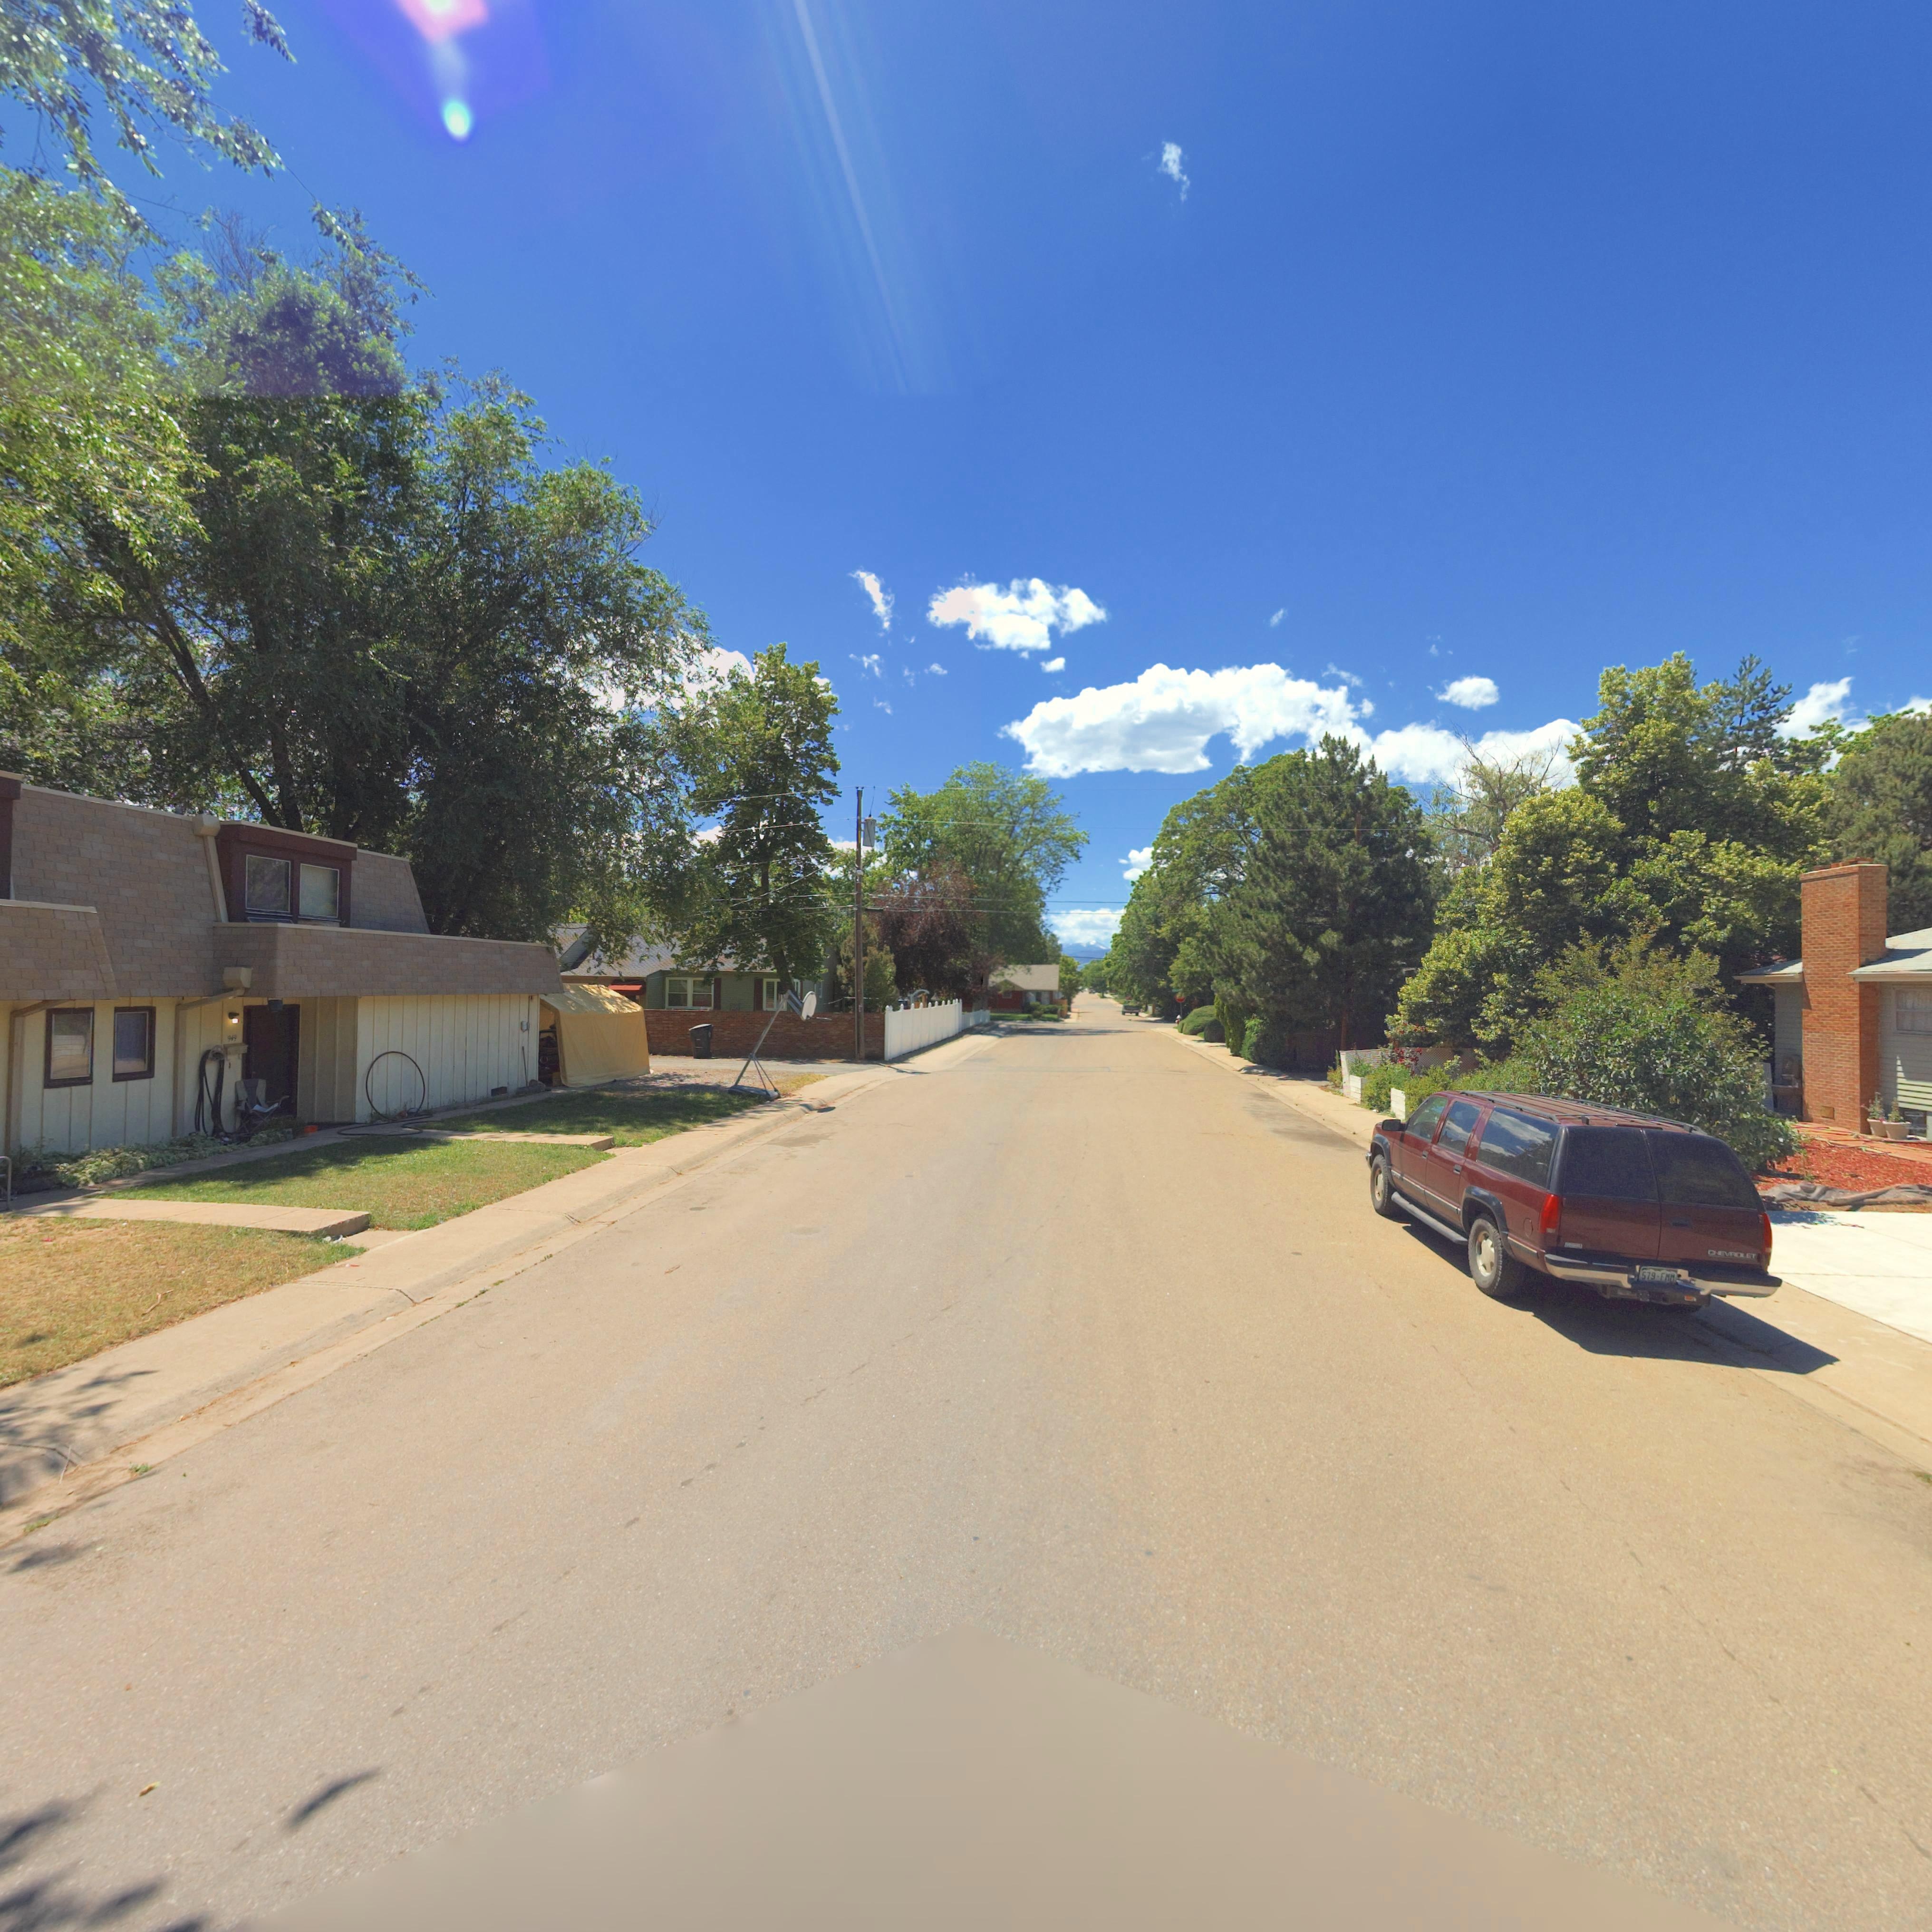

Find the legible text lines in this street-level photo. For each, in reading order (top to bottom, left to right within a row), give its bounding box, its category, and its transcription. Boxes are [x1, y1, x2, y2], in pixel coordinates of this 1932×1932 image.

[227, 1034, 237, 1042] StreetNumber: 949